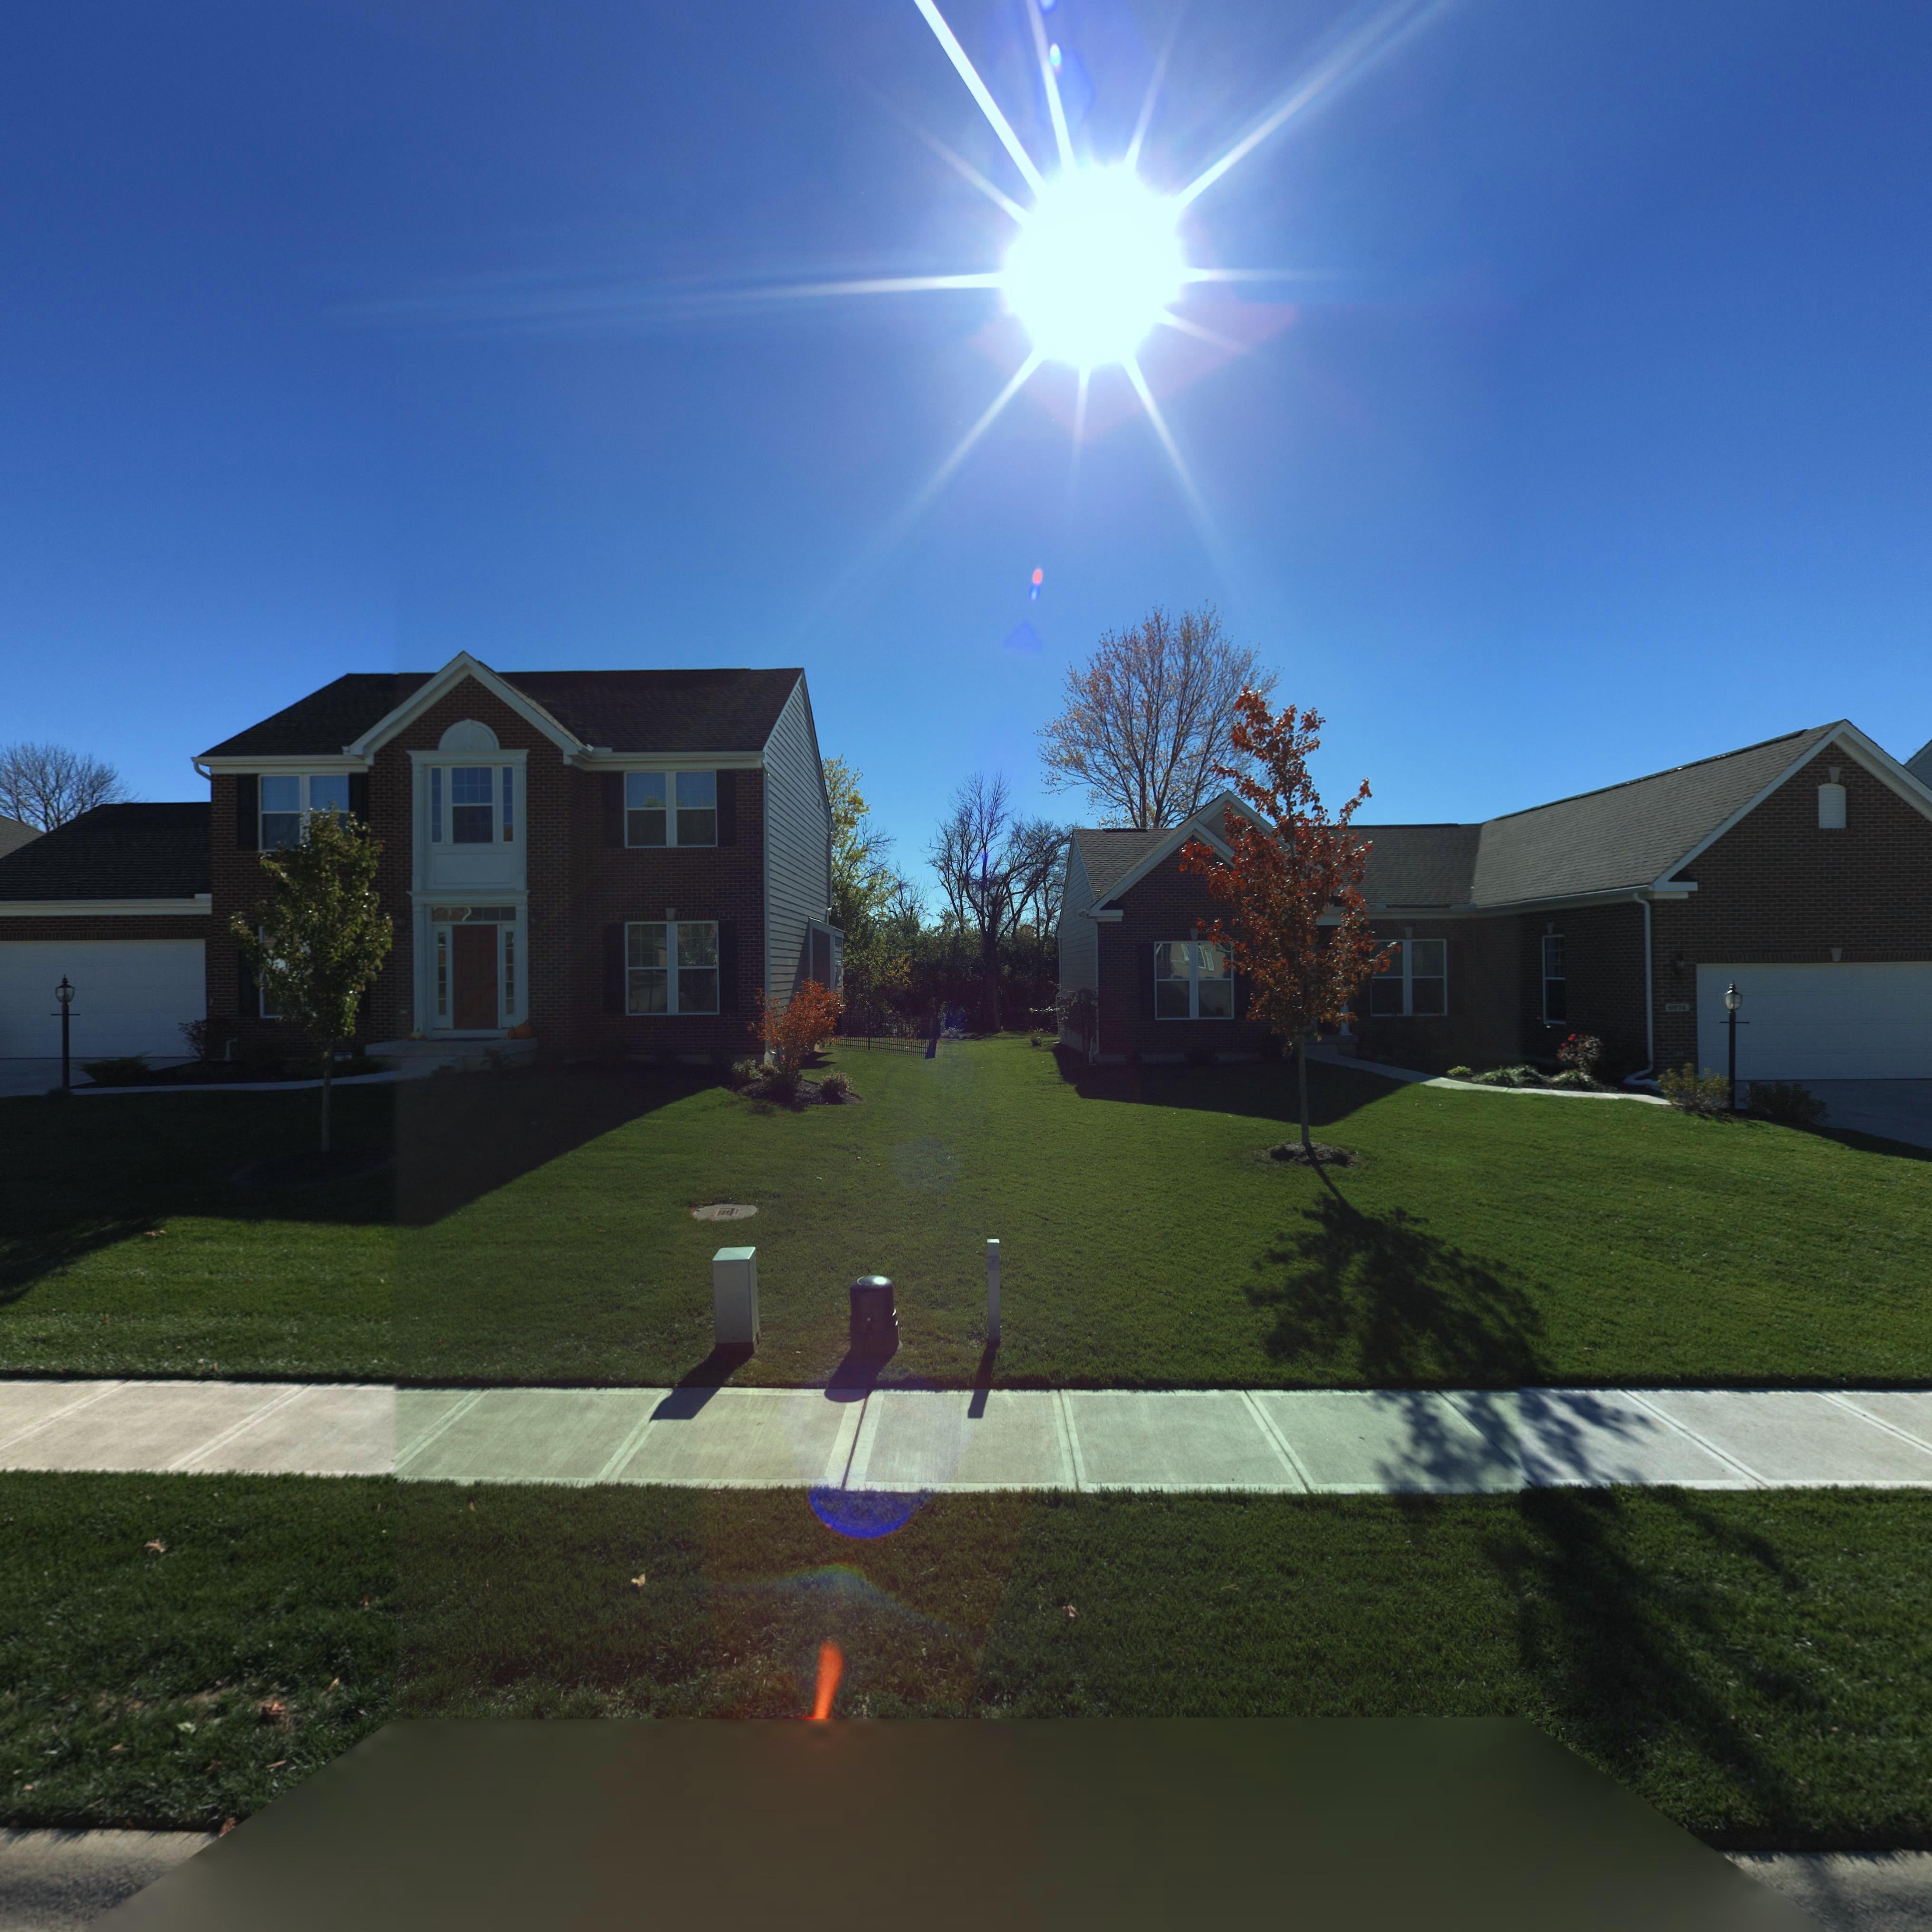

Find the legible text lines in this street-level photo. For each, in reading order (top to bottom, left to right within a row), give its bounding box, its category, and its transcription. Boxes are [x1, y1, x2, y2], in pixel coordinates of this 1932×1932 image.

[1668, 1004, 1687, 1011] StreetNumber: **7*